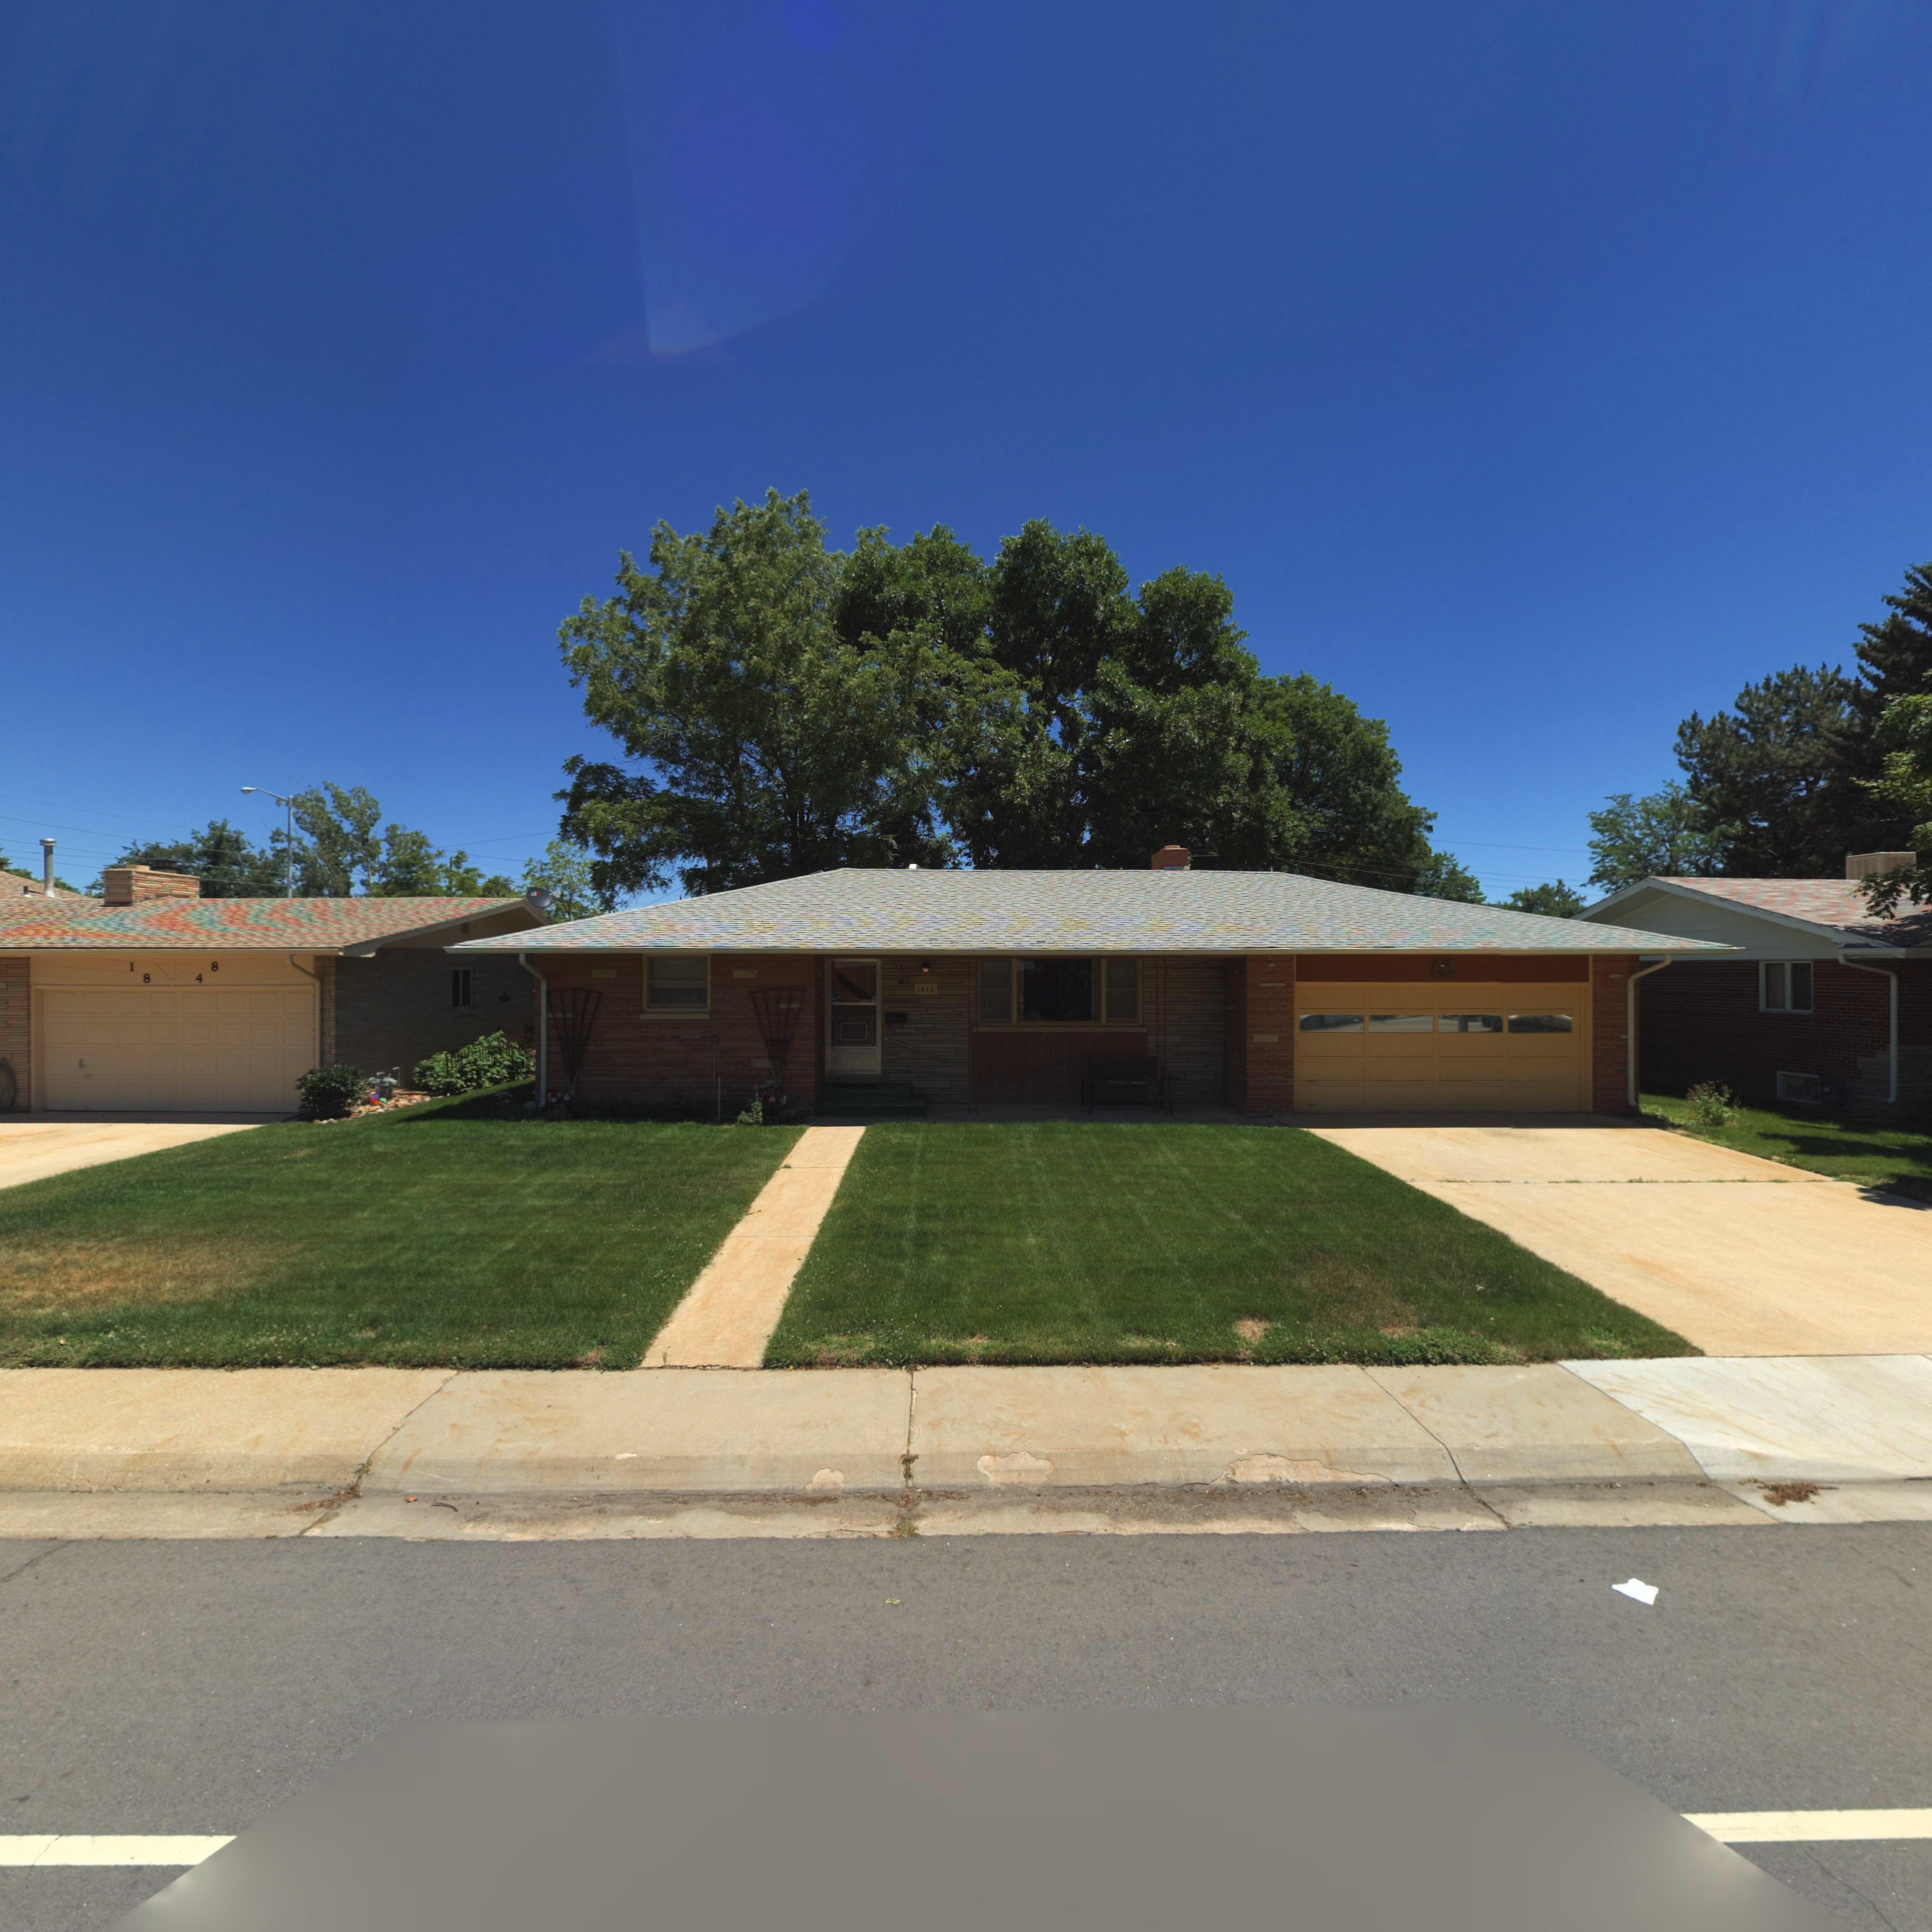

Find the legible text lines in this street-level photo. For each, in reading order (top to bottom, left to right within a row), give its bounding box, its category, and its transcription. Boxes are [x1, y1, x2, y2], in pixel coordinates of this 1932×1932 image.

[129, 962, 151, 984] StreetNumber: 18
[195, 961, 219, 984] StreetNumber: 48
[917, 986, 934, 992] StreetNumber: 1842